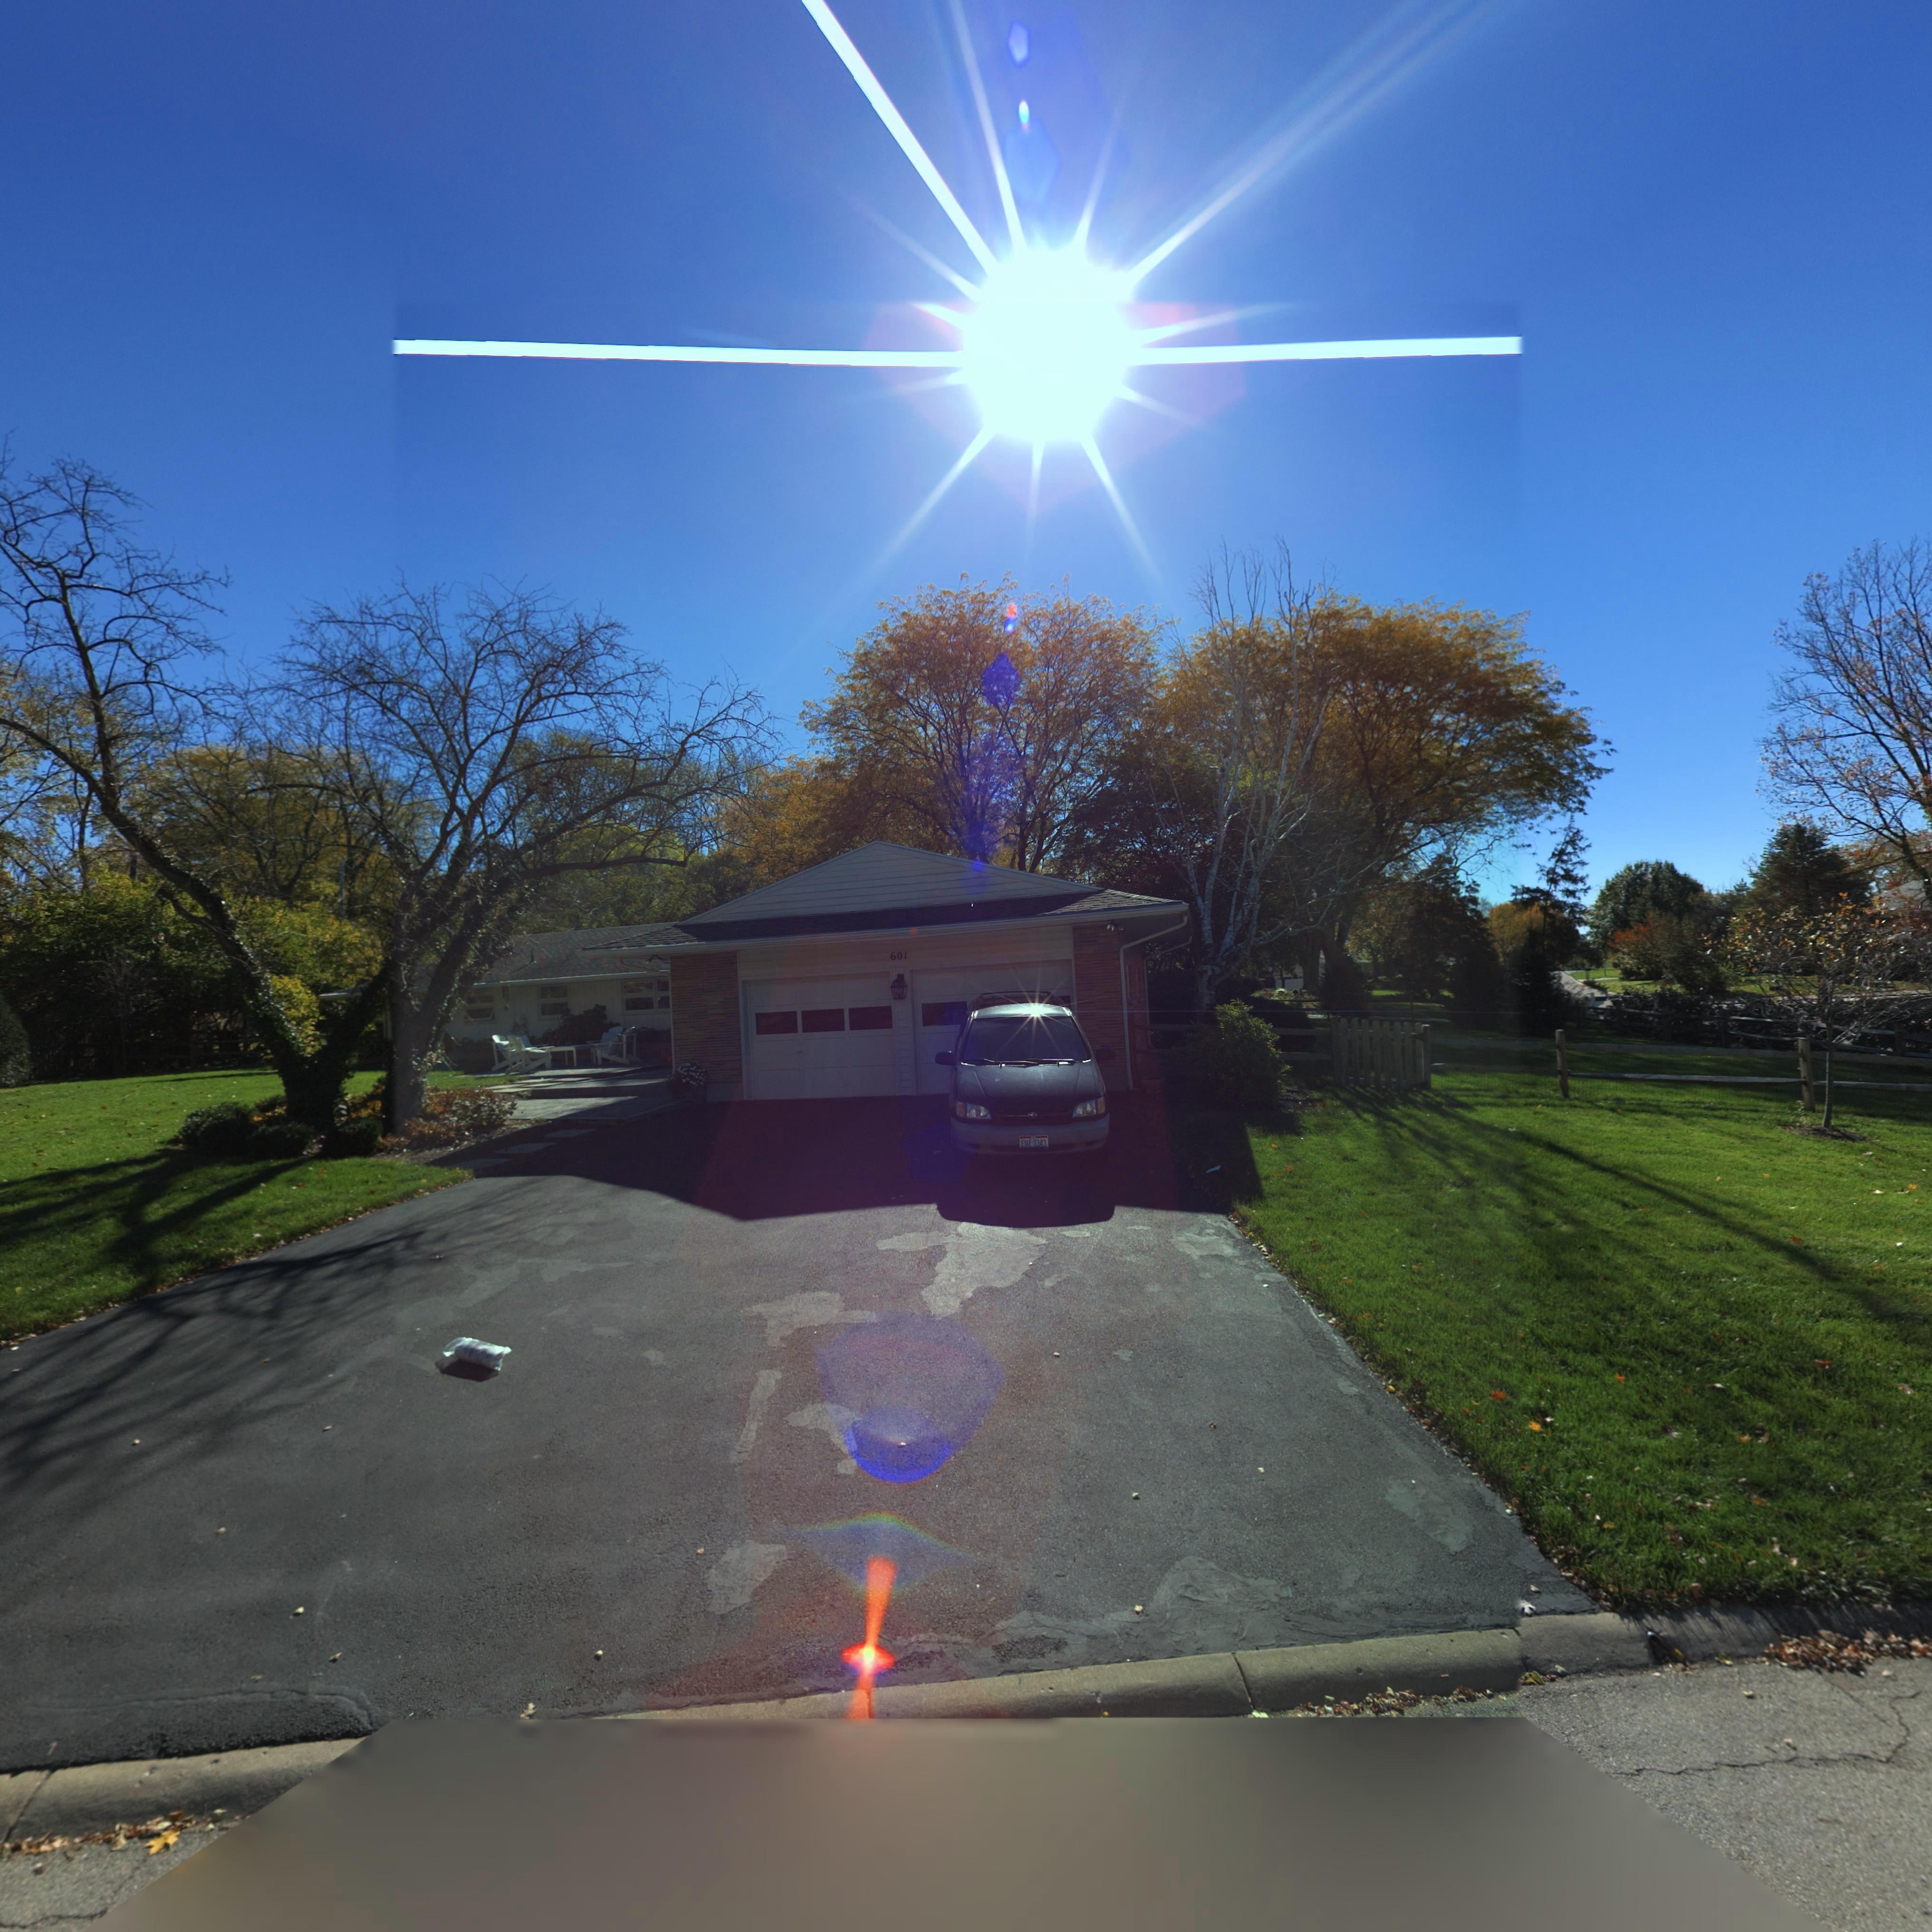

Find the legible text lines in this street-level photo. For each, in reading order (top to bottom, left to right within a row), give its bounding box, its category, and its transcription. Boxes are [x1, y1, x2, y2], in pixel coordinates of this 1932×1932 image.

[889, 950, 908, 962] StreetNumber: 601